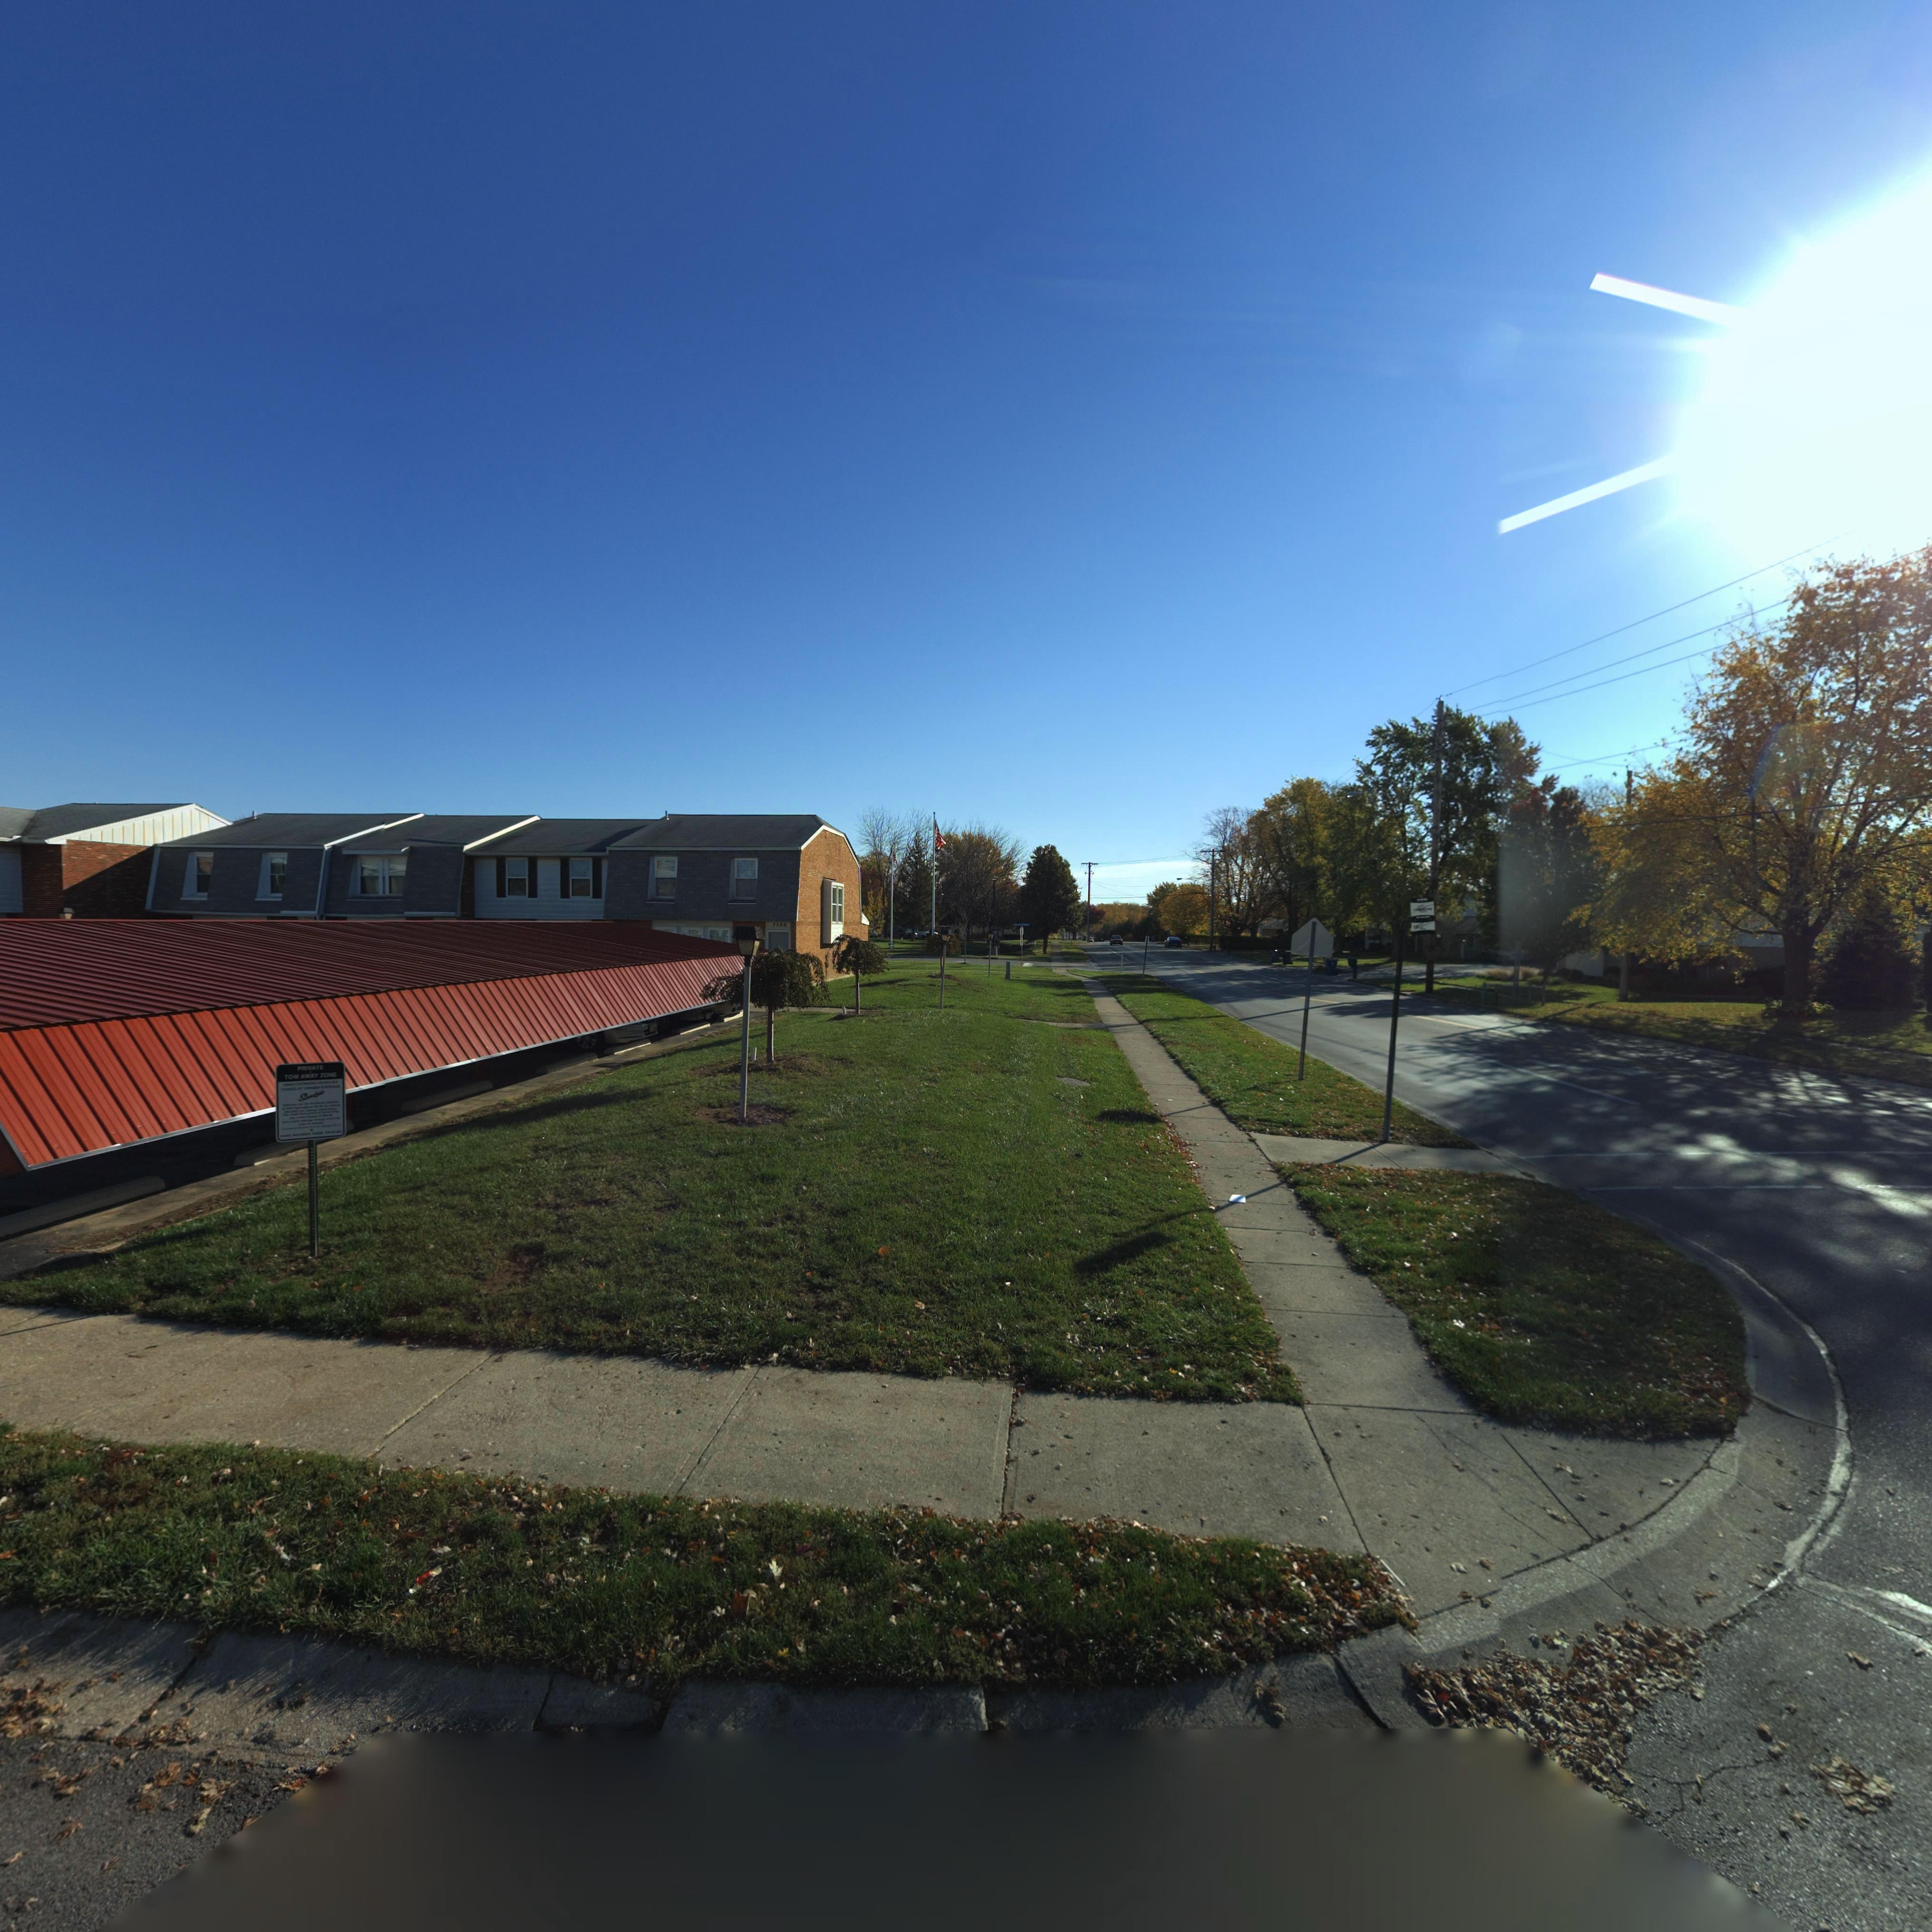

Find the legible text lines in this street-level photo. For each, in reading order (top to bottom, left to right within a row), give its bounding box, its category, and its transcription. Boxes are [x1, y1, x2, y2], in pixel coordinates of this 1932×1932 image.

[772, 922, 787, 927] StreetNumber: 7500